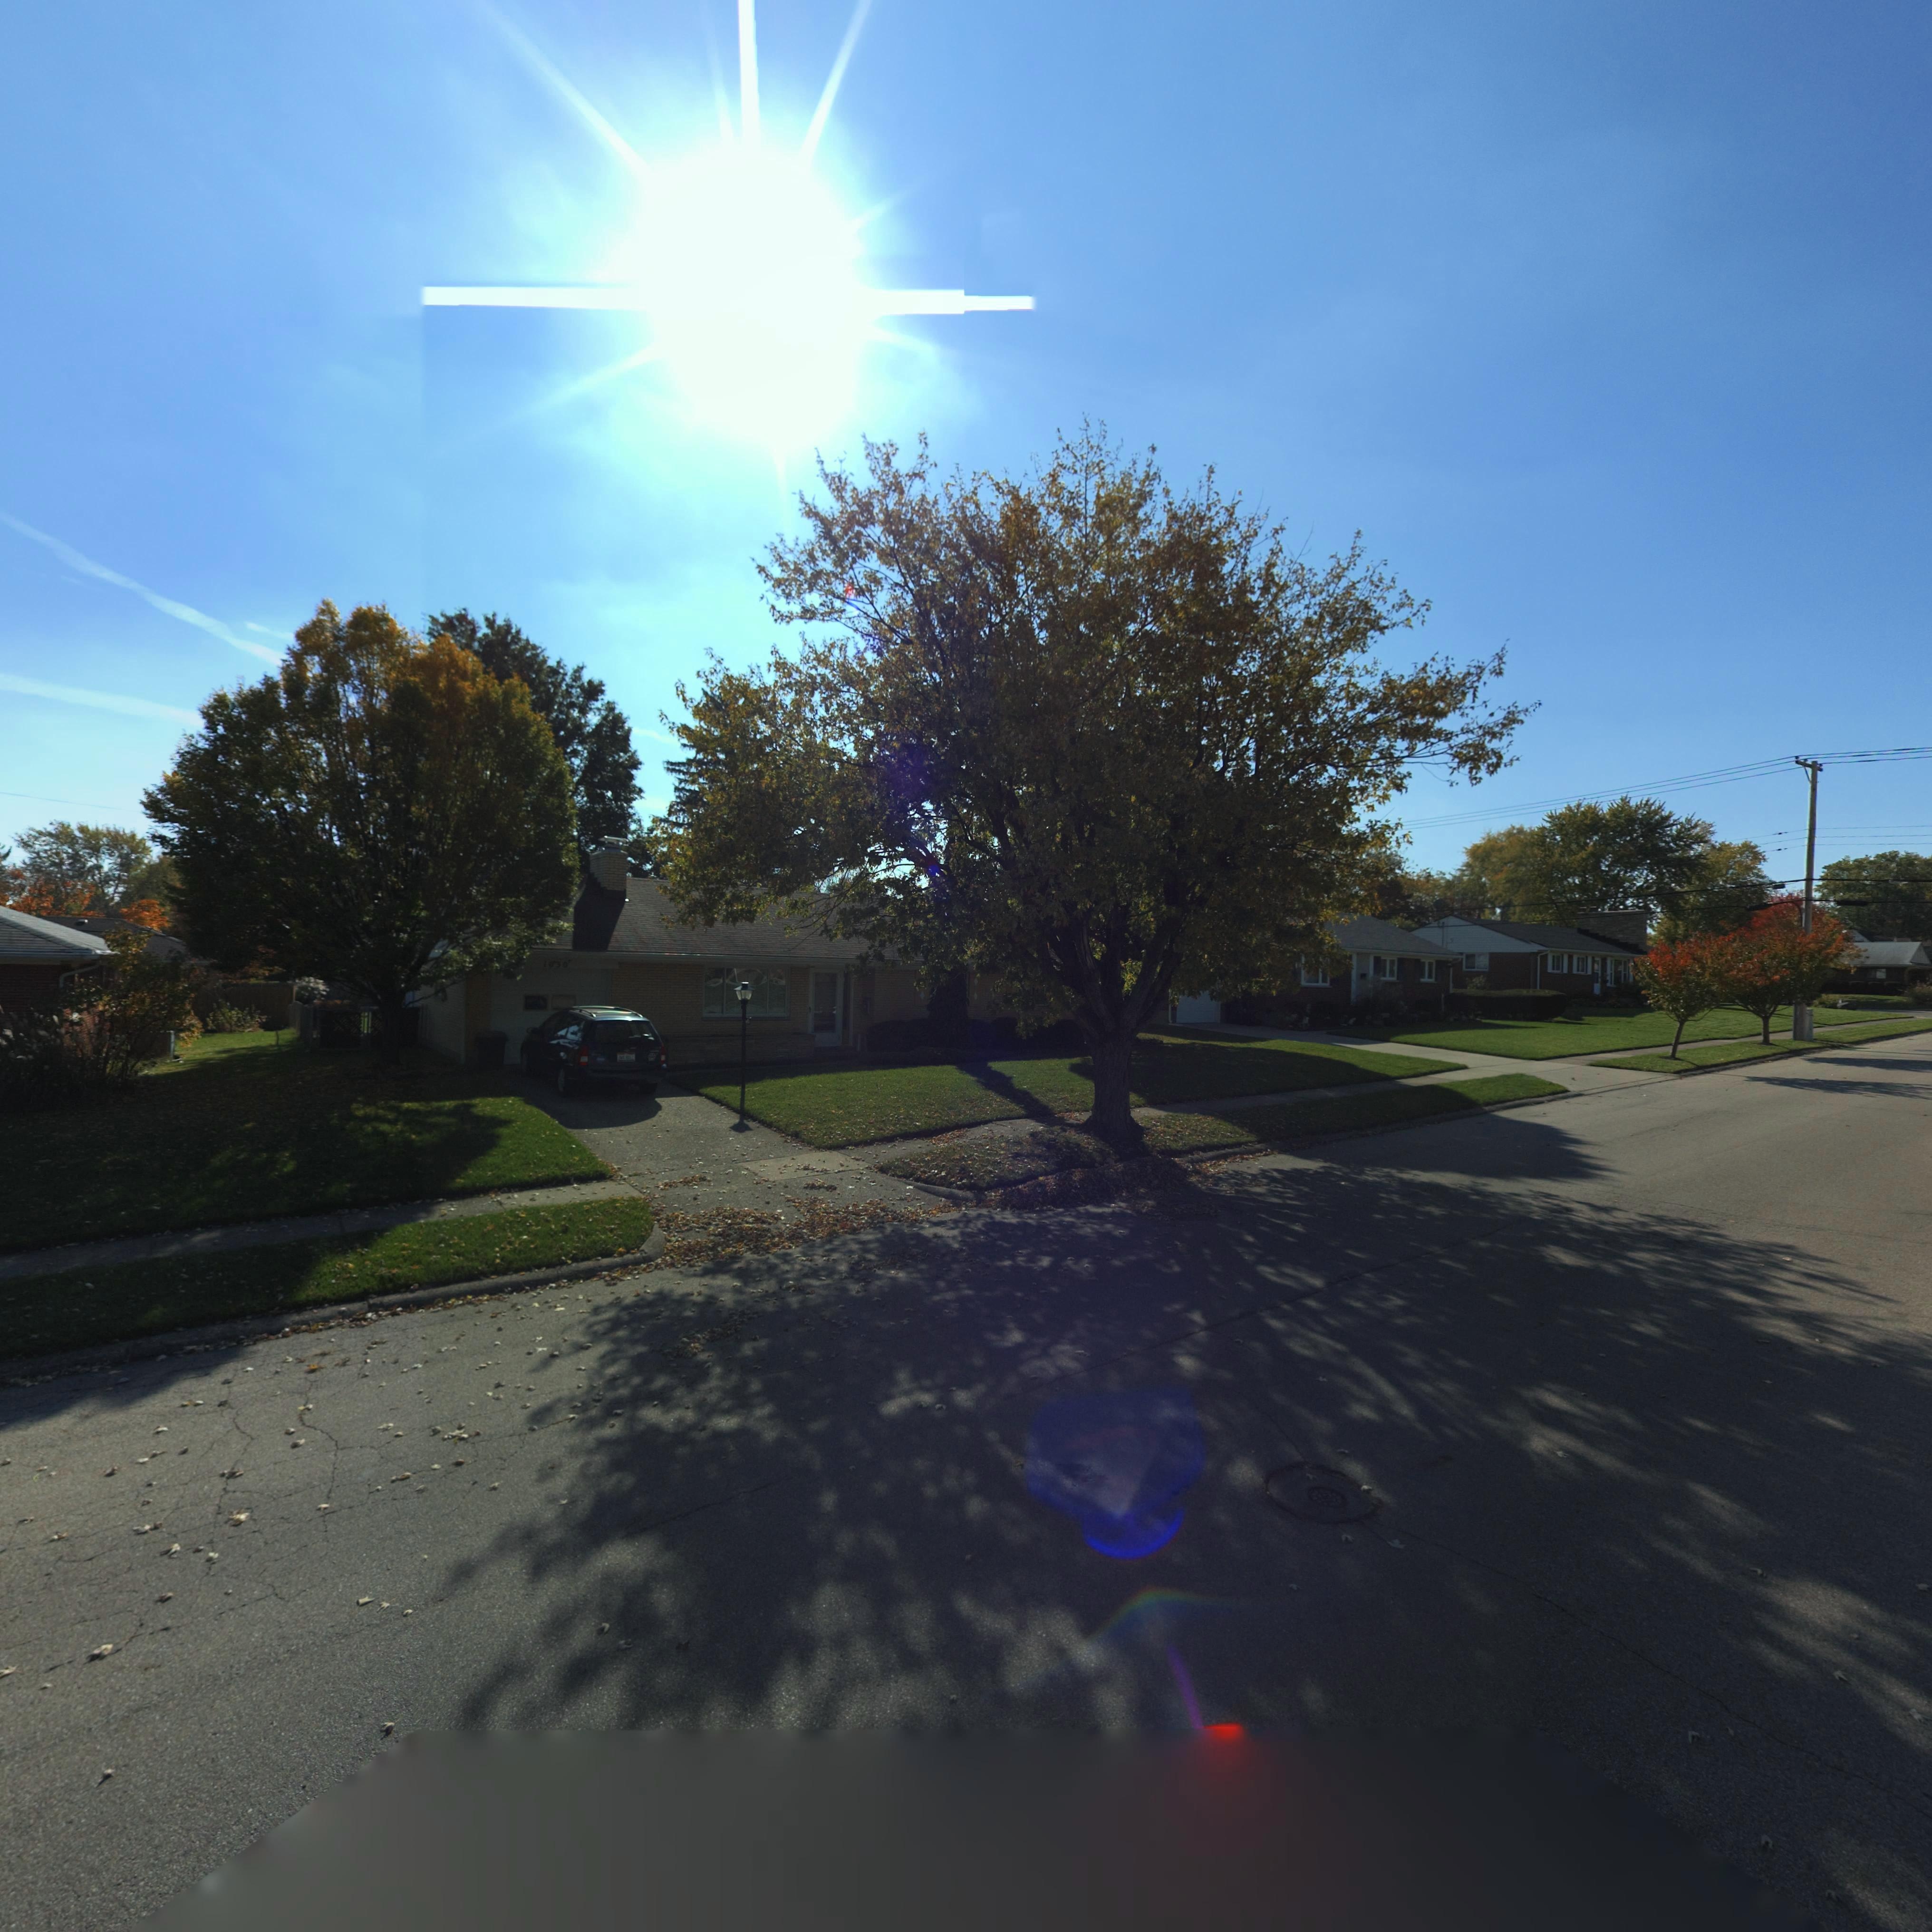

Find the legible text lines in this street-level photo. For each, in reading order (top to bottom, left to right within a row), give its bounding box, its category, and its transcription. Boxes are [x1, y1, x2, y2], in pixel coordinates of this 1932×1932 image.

[542, 960, 567, 967] StreetNumber: 1030